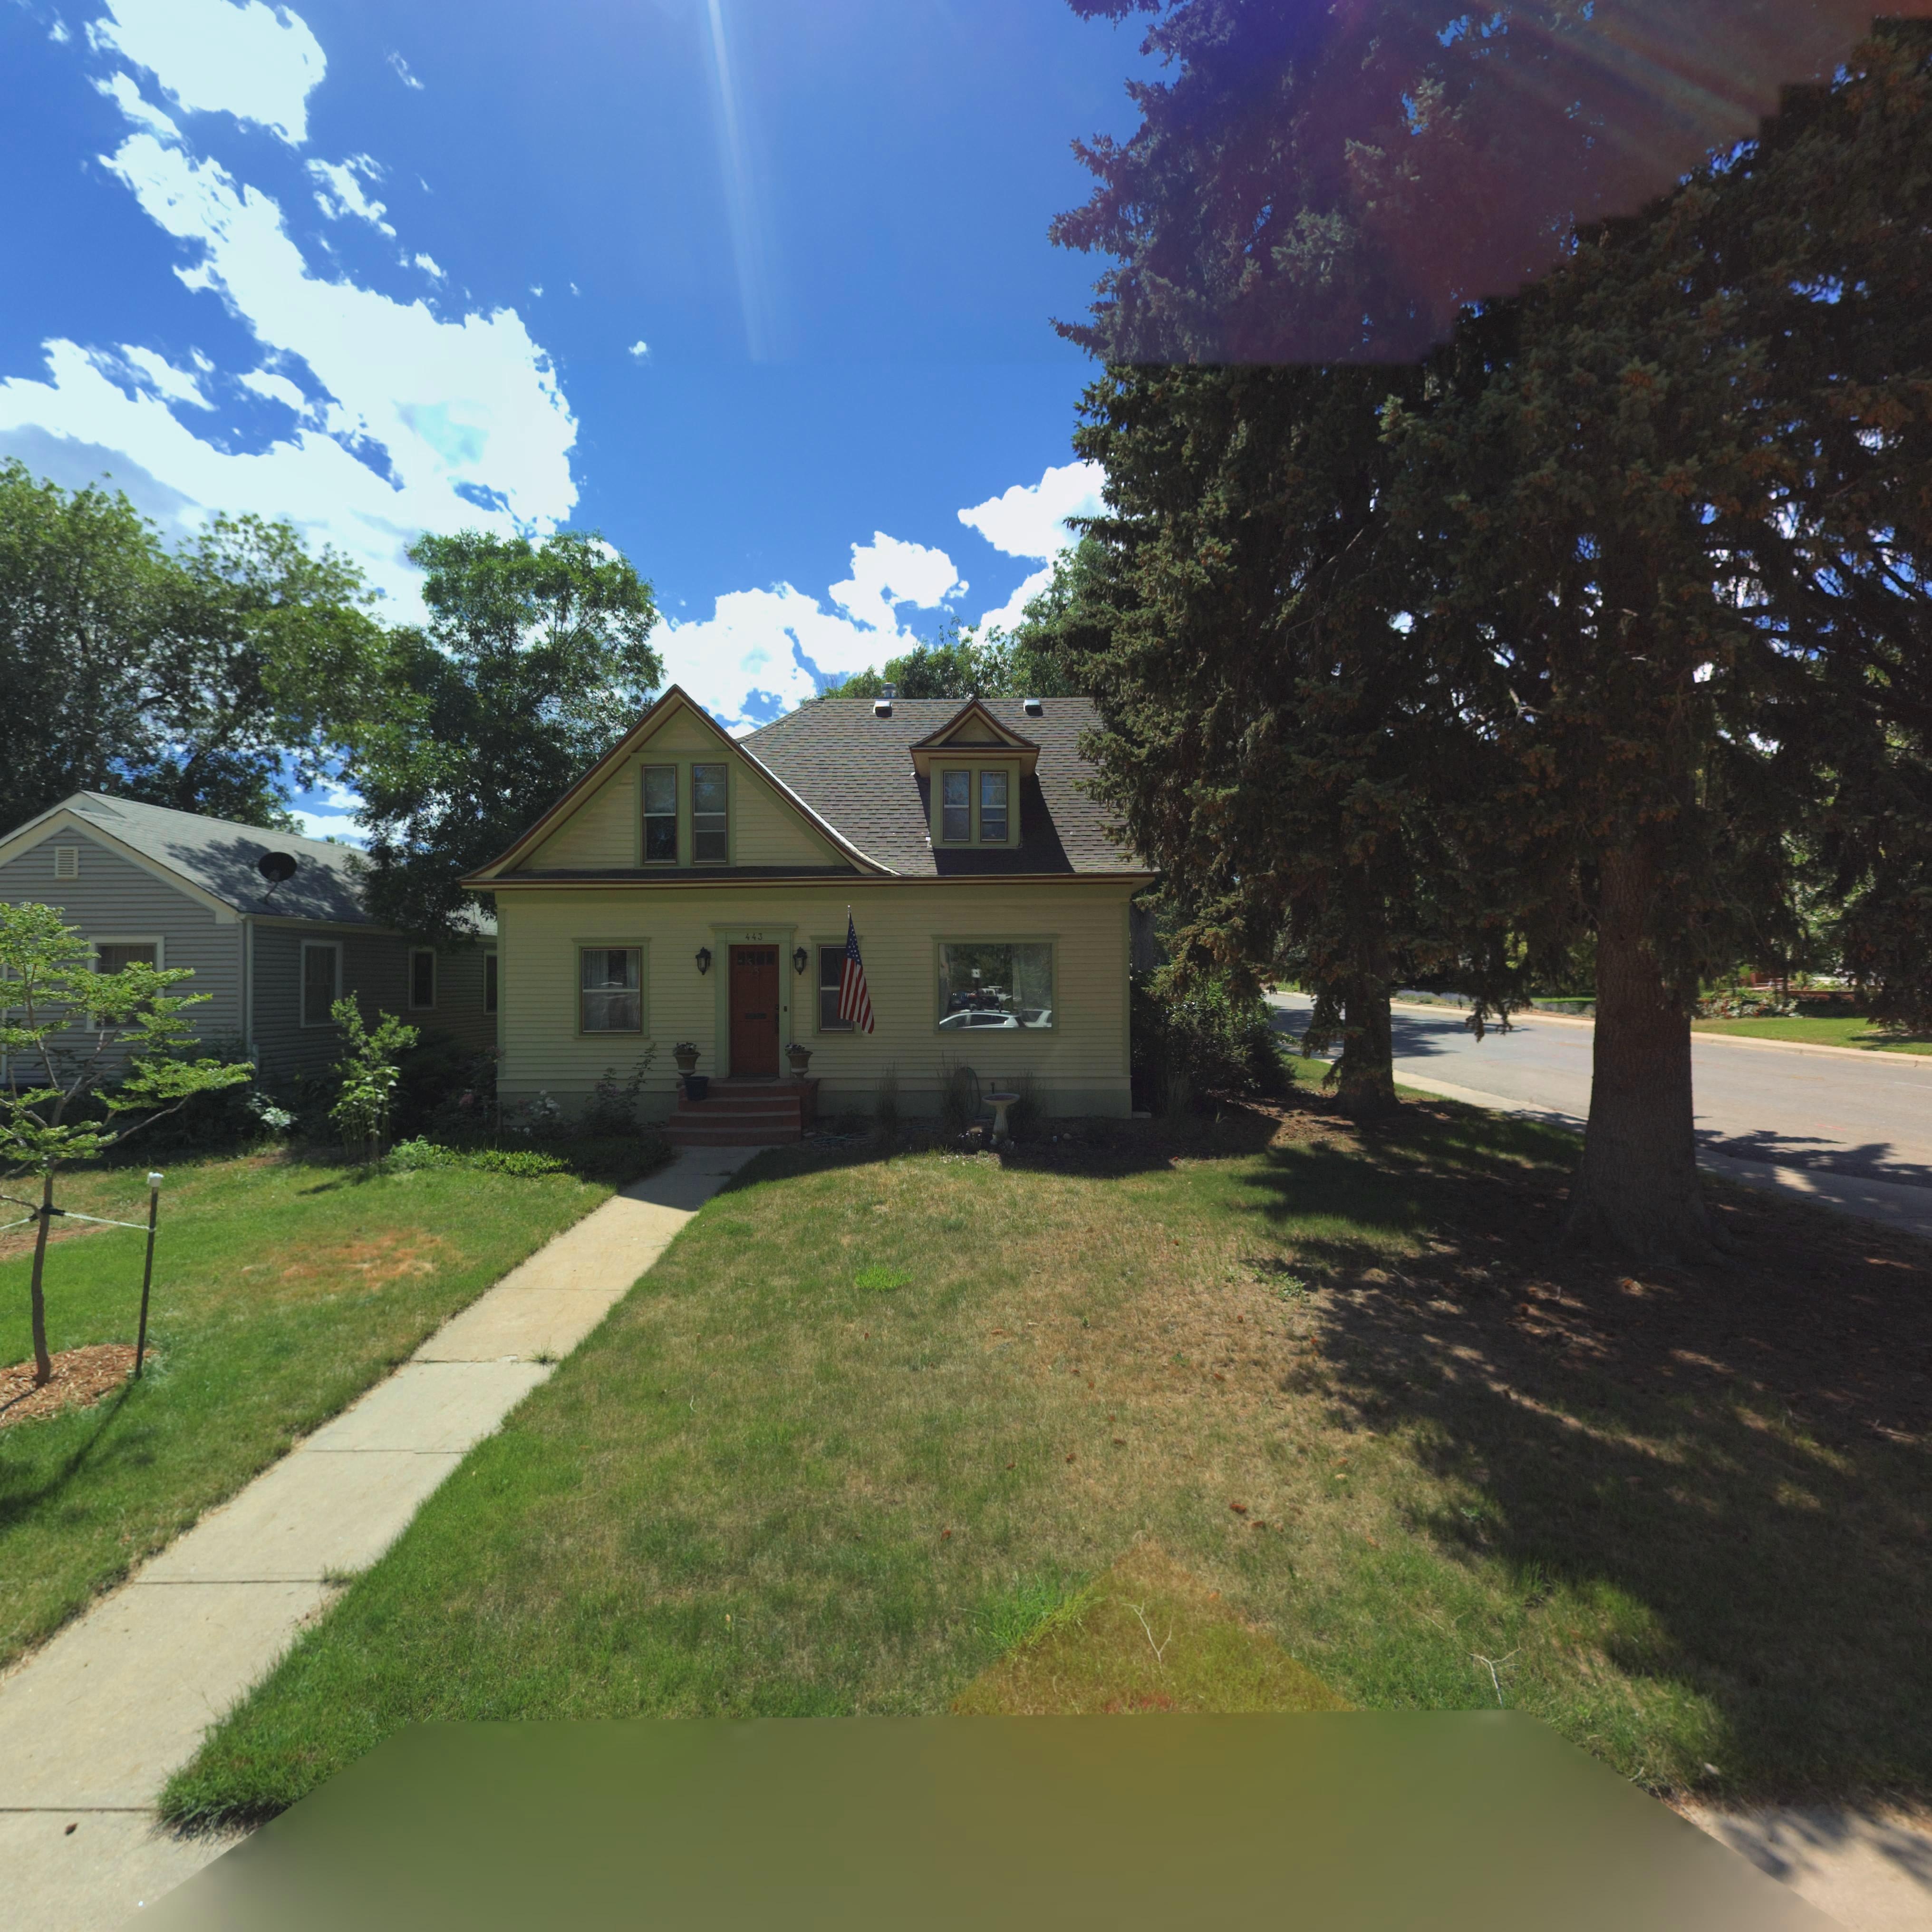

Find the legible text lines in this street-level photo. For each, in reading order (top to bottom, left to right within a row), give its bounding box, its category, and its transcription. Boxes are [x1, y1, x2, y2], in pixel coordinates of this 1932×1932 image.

[744, 932, 763, 940] StreetNumber: 443